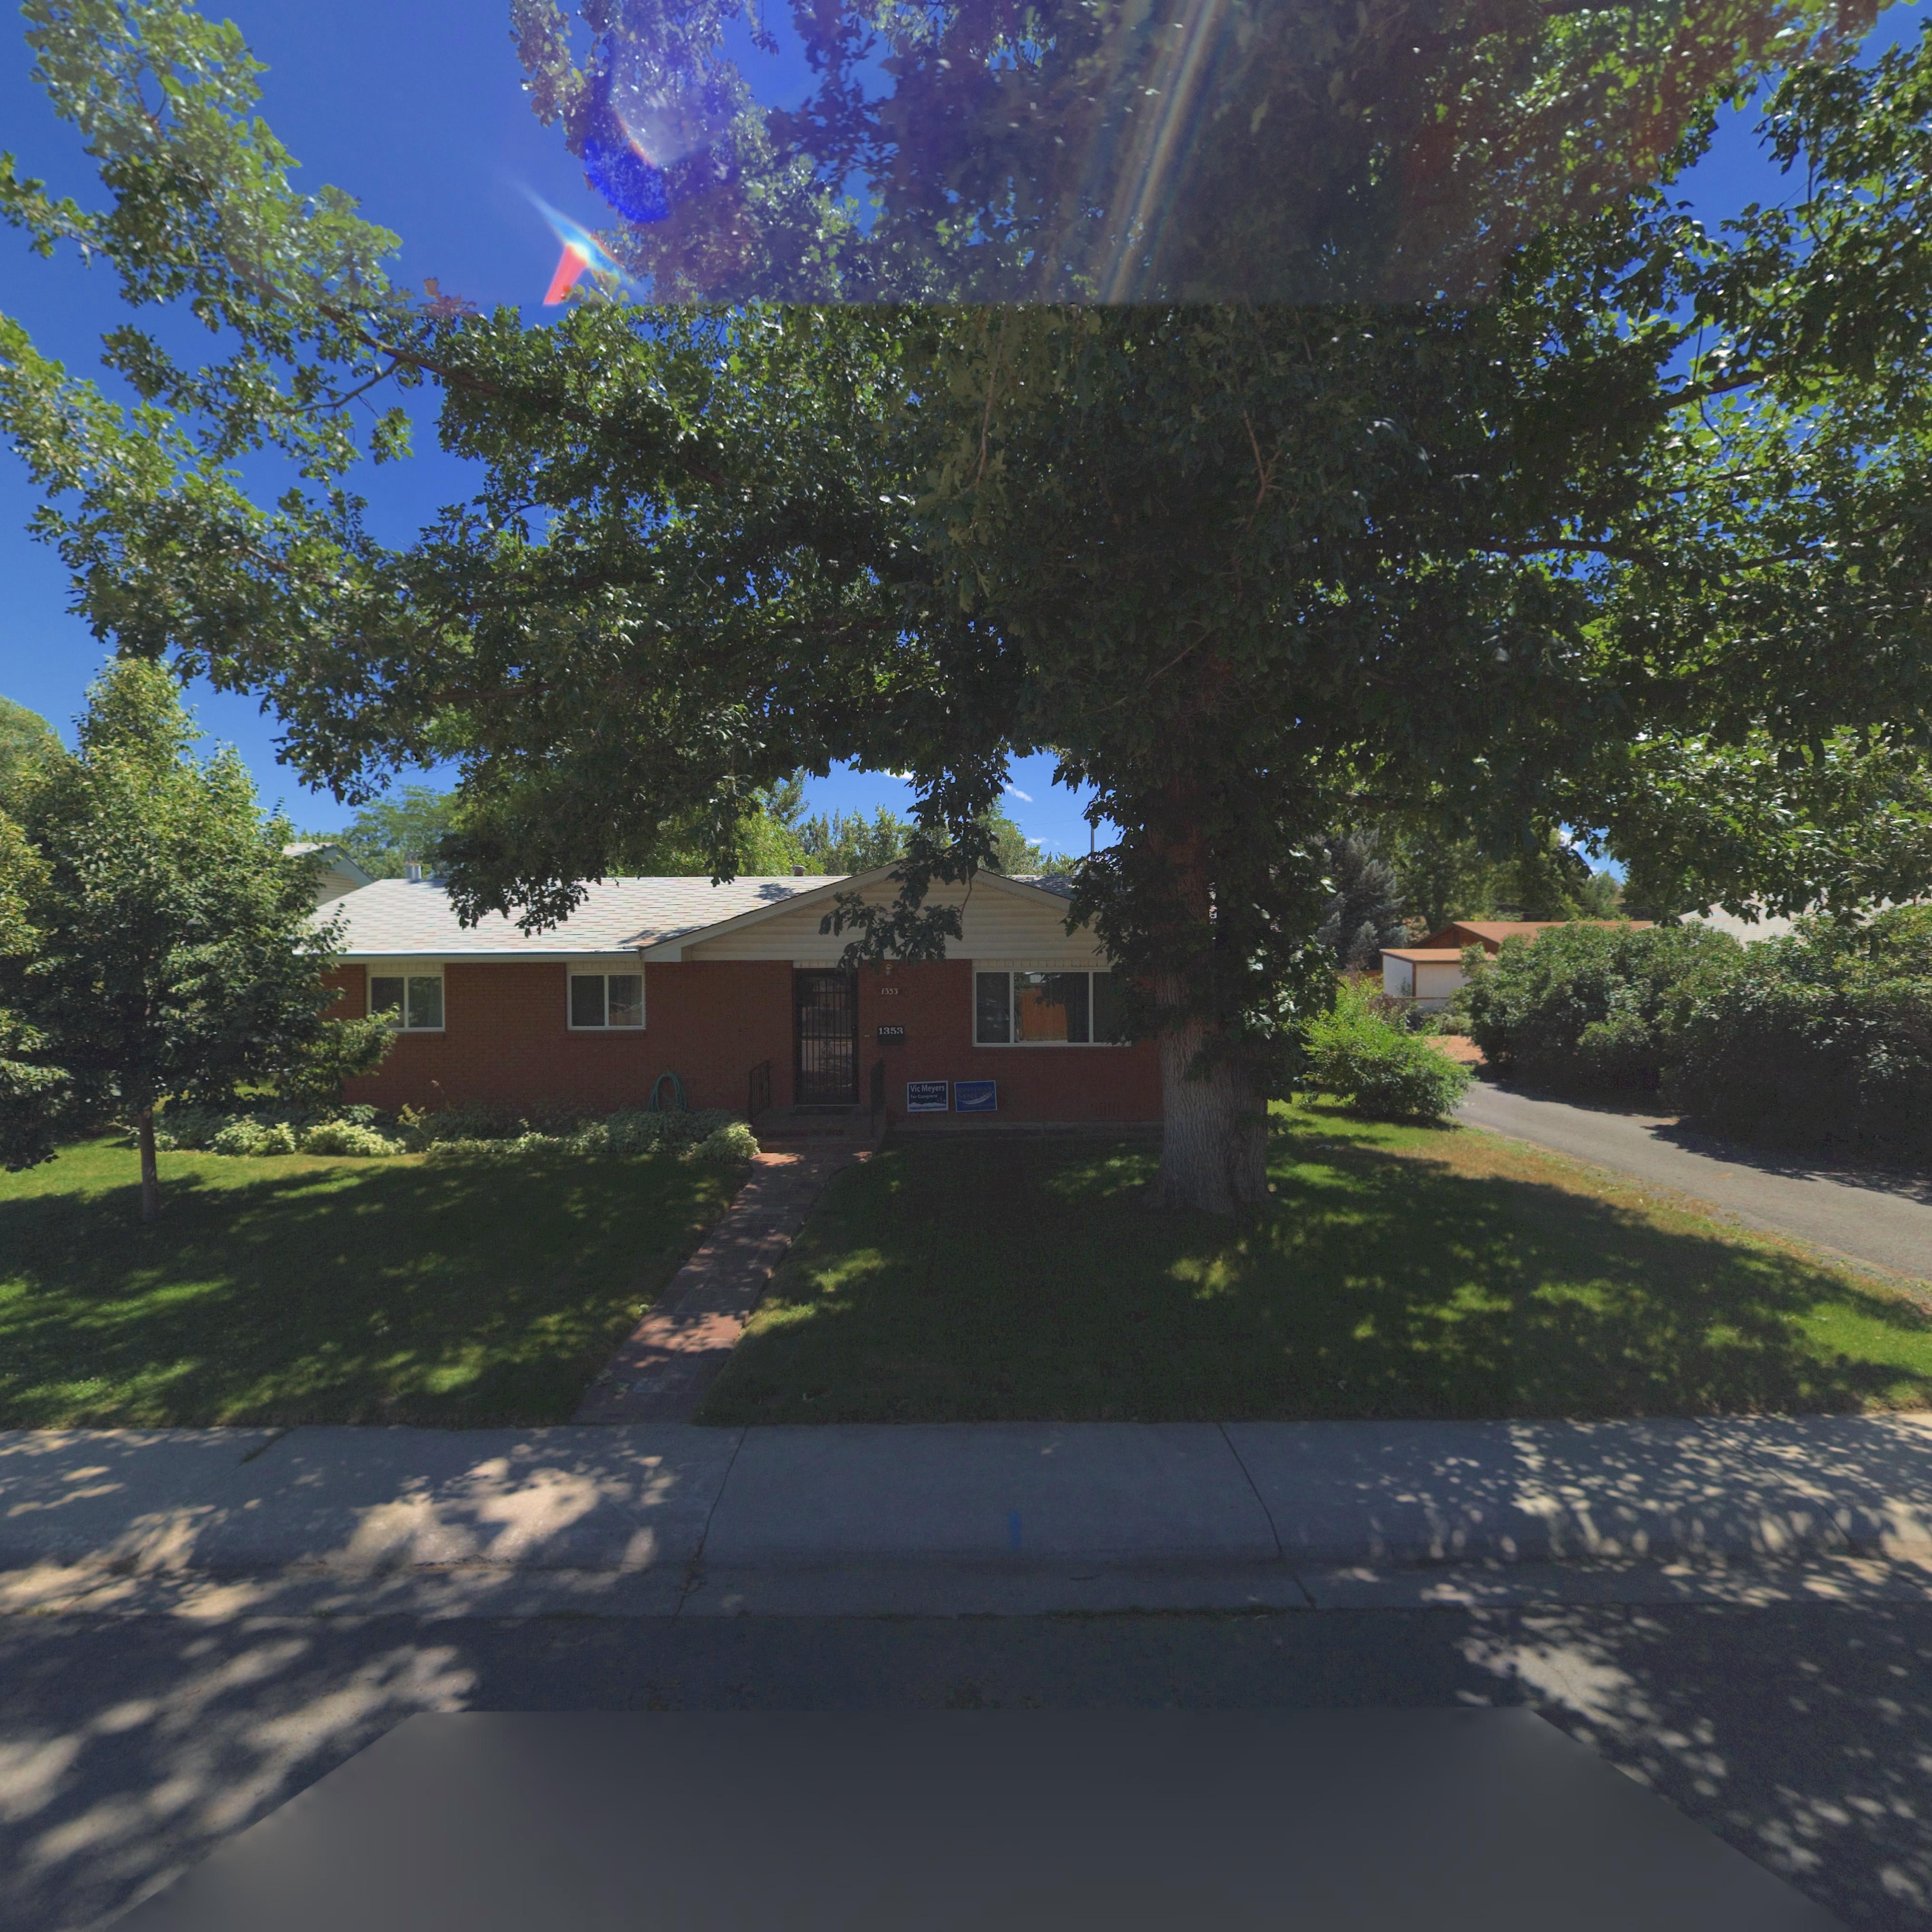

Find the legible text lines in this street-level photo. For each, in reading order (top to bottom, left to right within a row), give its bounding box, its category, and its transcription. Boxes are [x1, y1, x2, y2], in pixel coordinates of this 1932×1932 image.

[880, 987, 898, 995] StreetNumber: 1353
[878, 1026, 904, 1035] StreetNumber: 1353